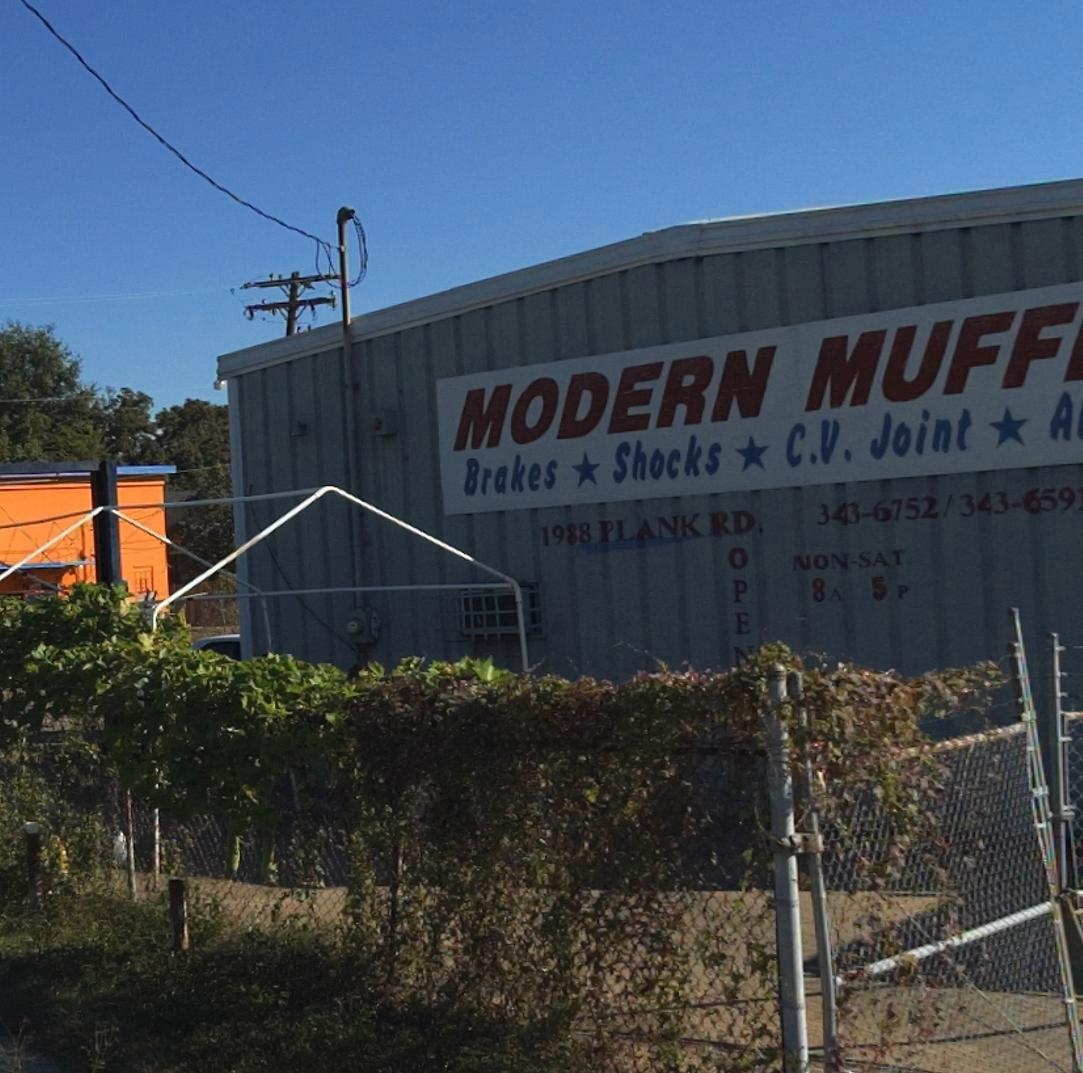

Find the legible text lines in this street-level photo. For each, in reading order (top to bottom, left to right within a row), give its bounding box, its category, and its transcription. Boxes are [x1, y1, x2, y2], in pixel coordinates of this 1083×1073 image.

[447, 296, 1082, 457] BusinessName: MODERN MUFF
[457, 386, 1078, 502] None: Brakes * Shocks * C.V. Joint * A
[537, 519, 595, 549] StreetNumber: 1988
[594, 504, 767, 547] StreetName: PLANK RD.
[812, 482, 1080, 530] None: 343-6752/343-659
[790, 546, 909, 574] None: NON-SAT
[723, 544, 754, 638] None: OPE
[807, 571, 917, 607] None: 8A 5P